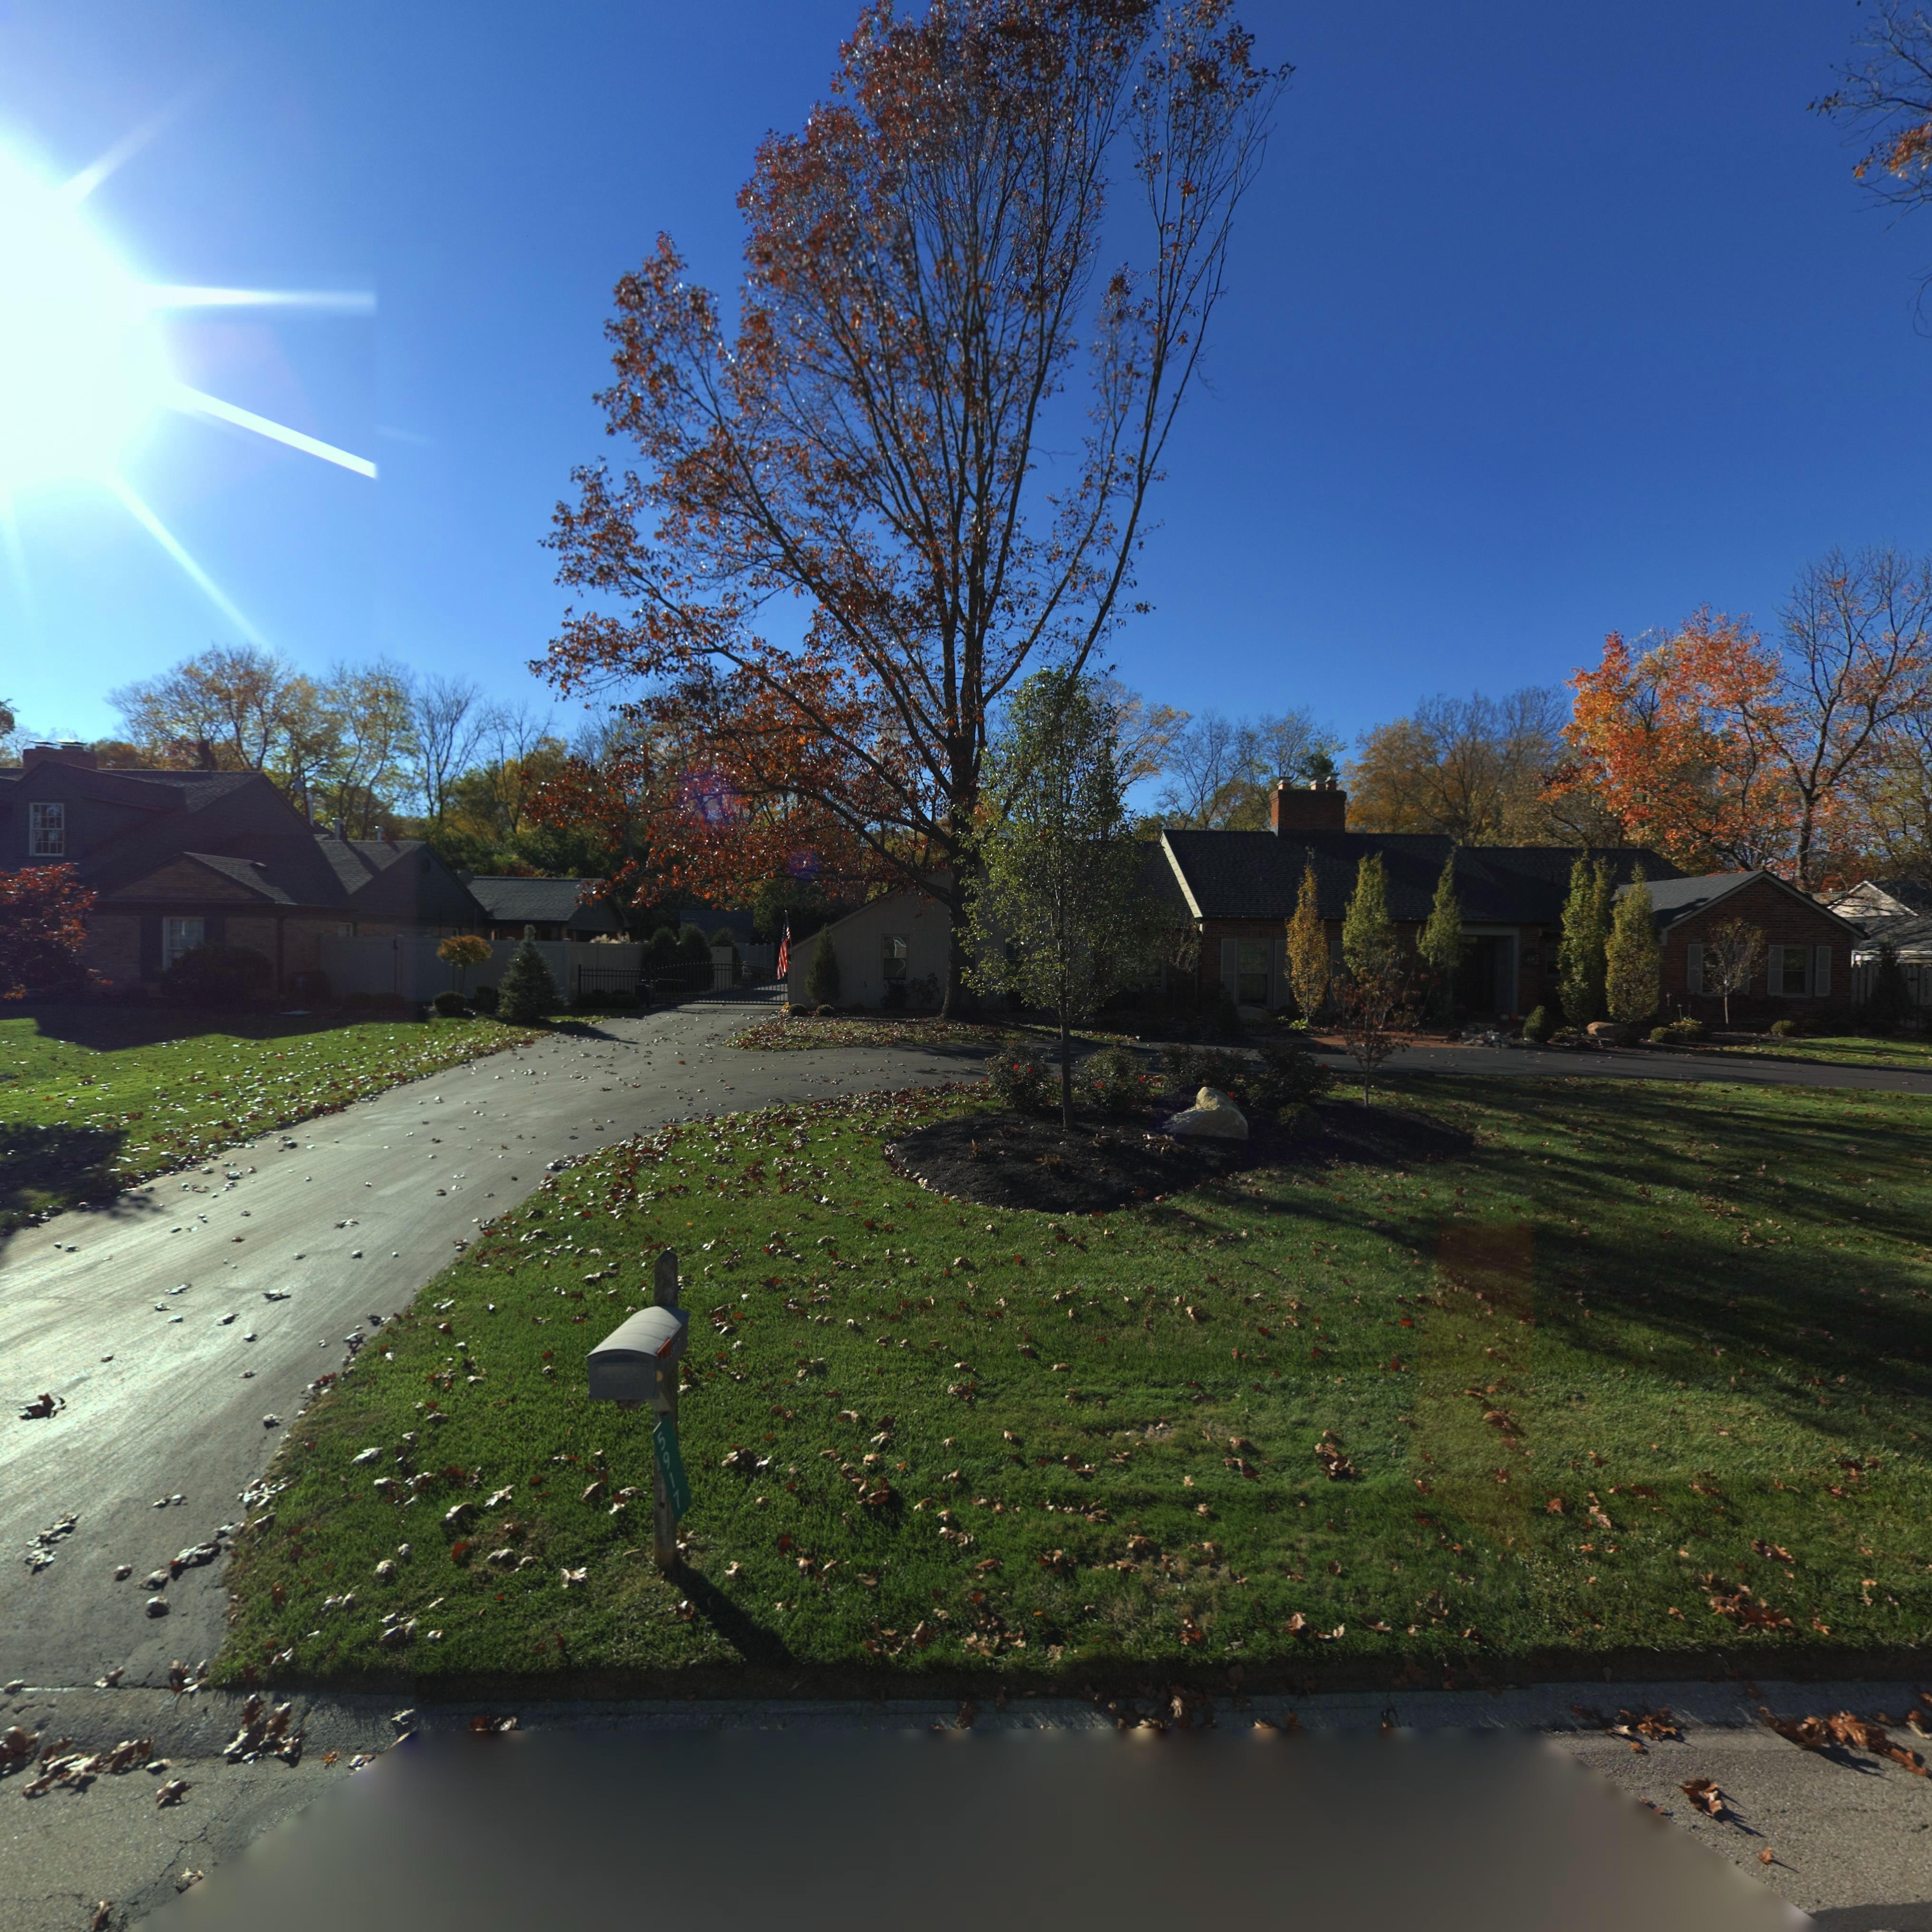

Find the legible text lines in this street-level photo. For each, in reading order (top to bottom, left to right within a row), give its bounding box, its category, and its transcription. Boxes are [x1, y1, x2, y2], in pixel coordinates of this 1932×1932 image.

[655, 1429, 681, 1511] StreetNumber: 5917